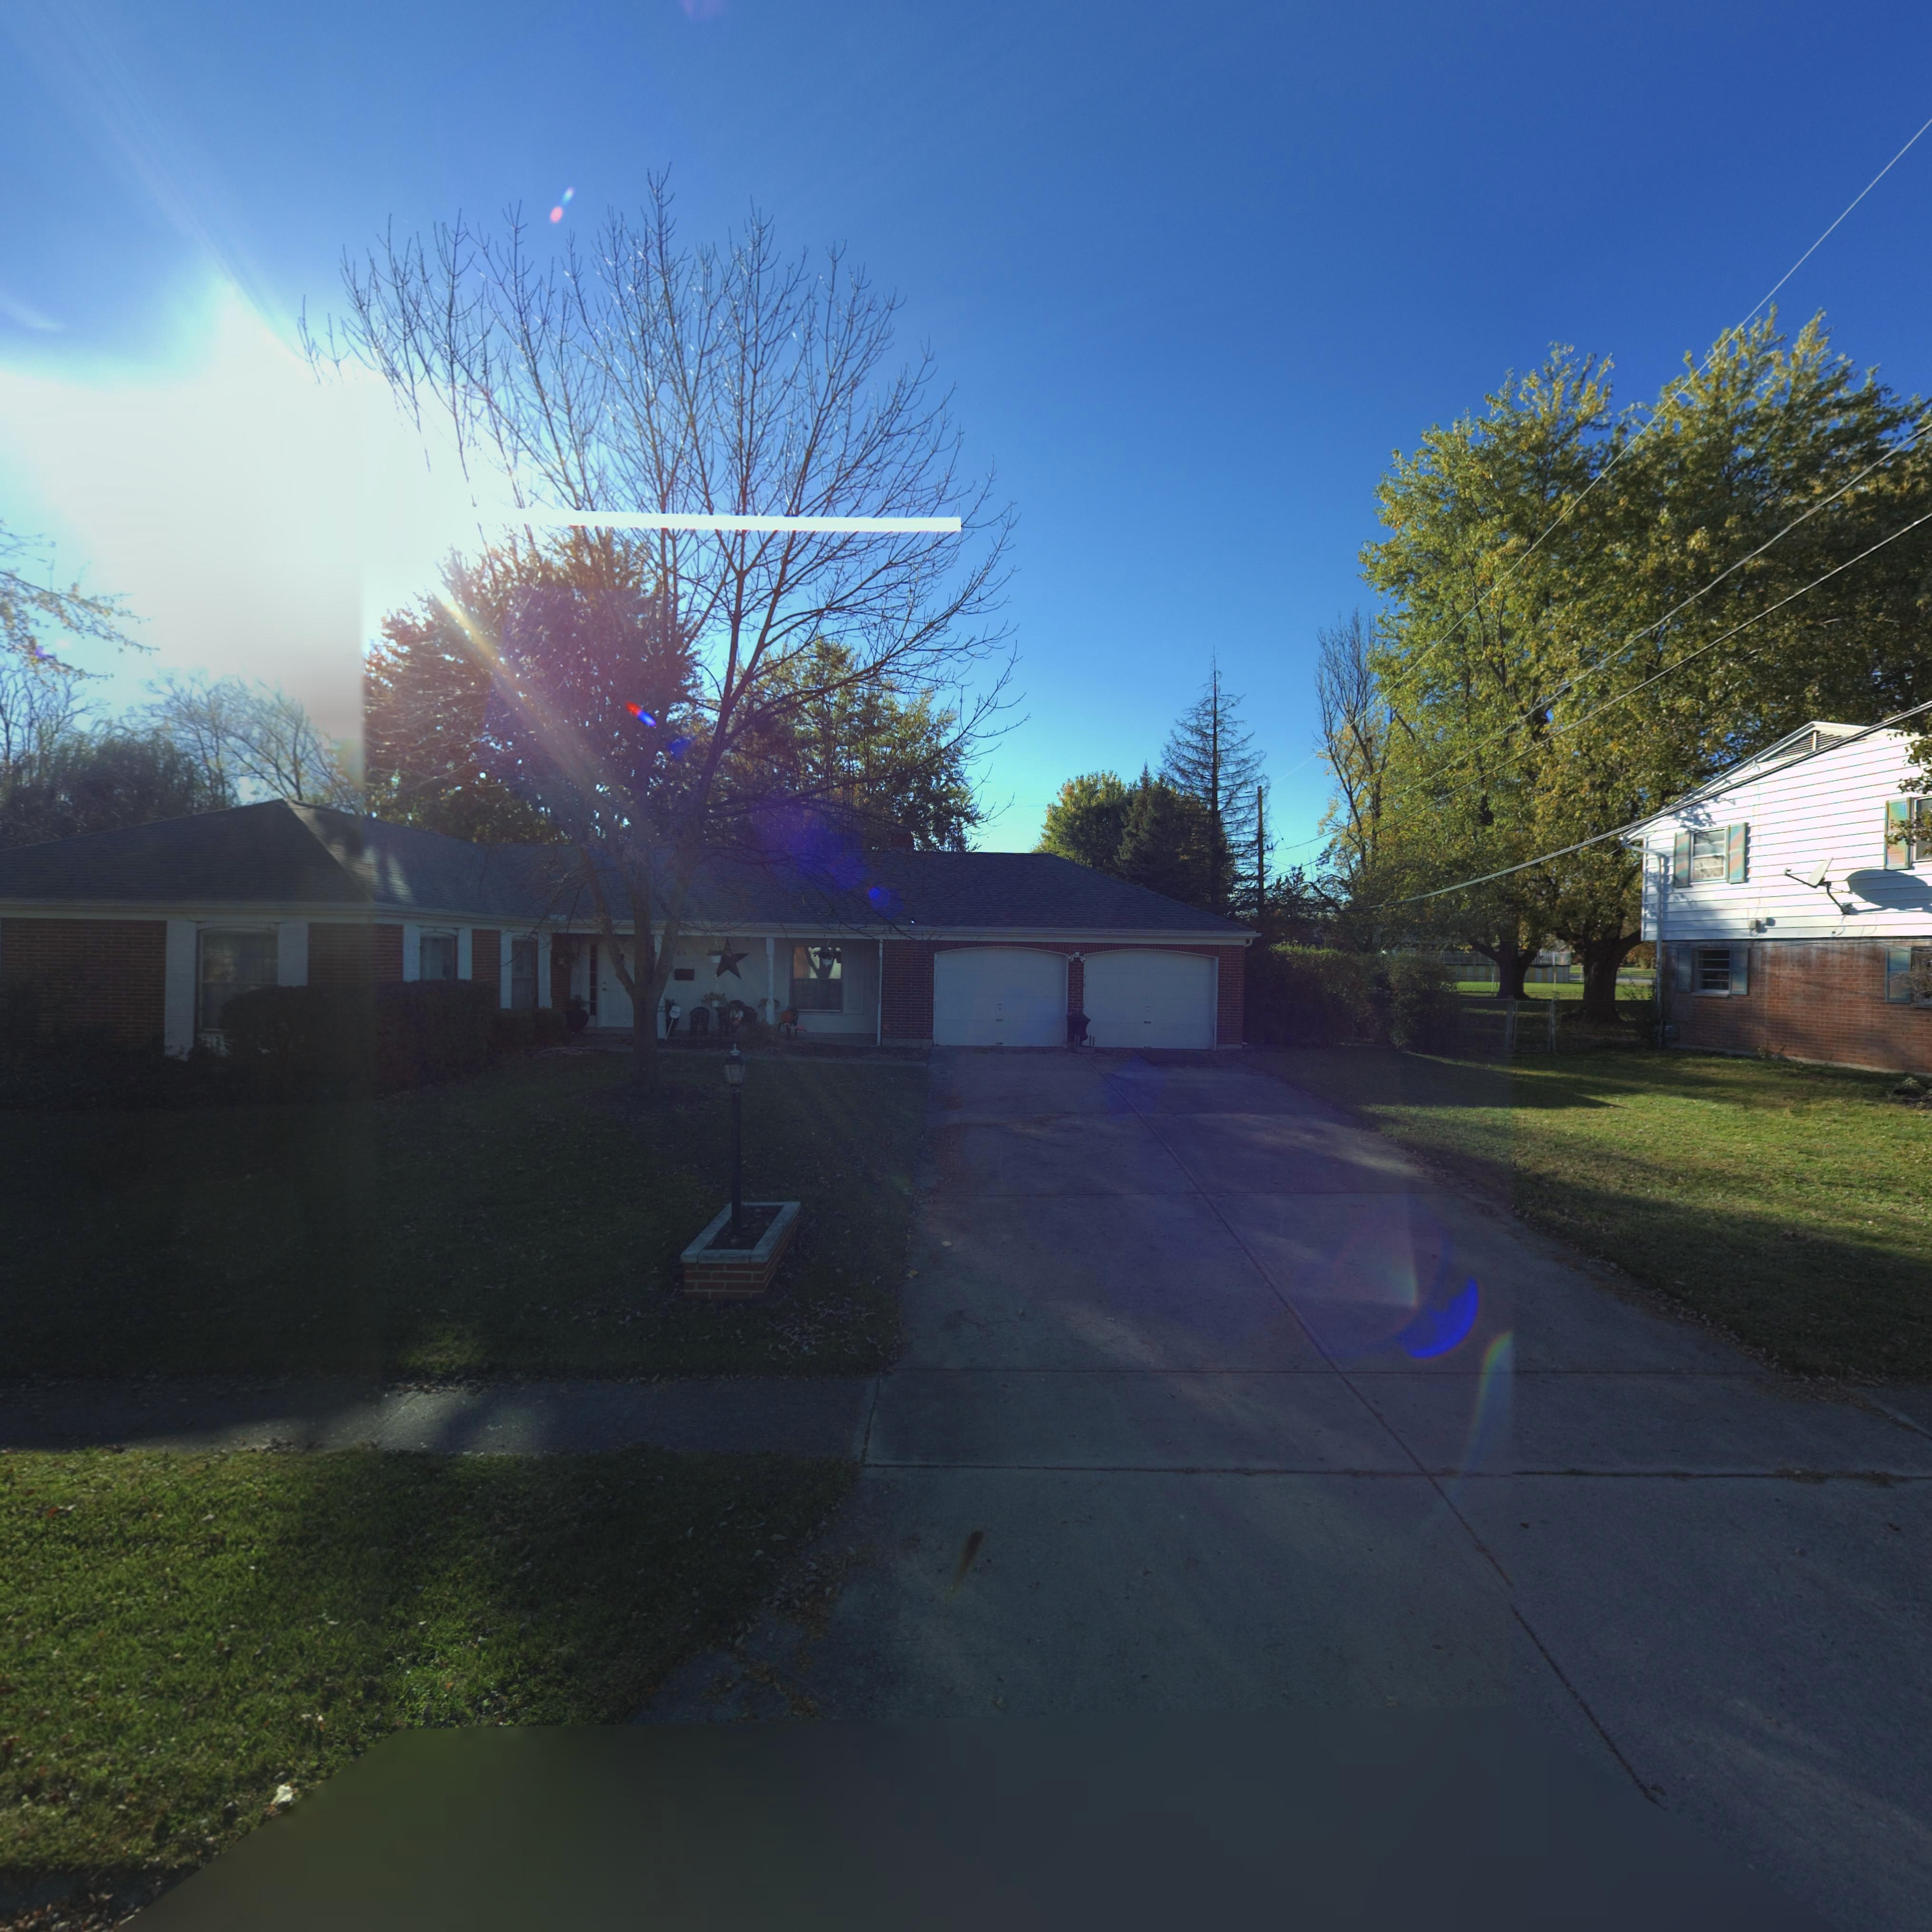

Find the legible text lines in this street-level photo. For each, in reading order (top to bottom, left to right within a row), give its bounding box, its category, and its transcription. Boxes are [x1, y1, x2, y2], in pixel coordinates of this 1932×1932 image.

[676, 950, 686, 956] StreetNumber: 25